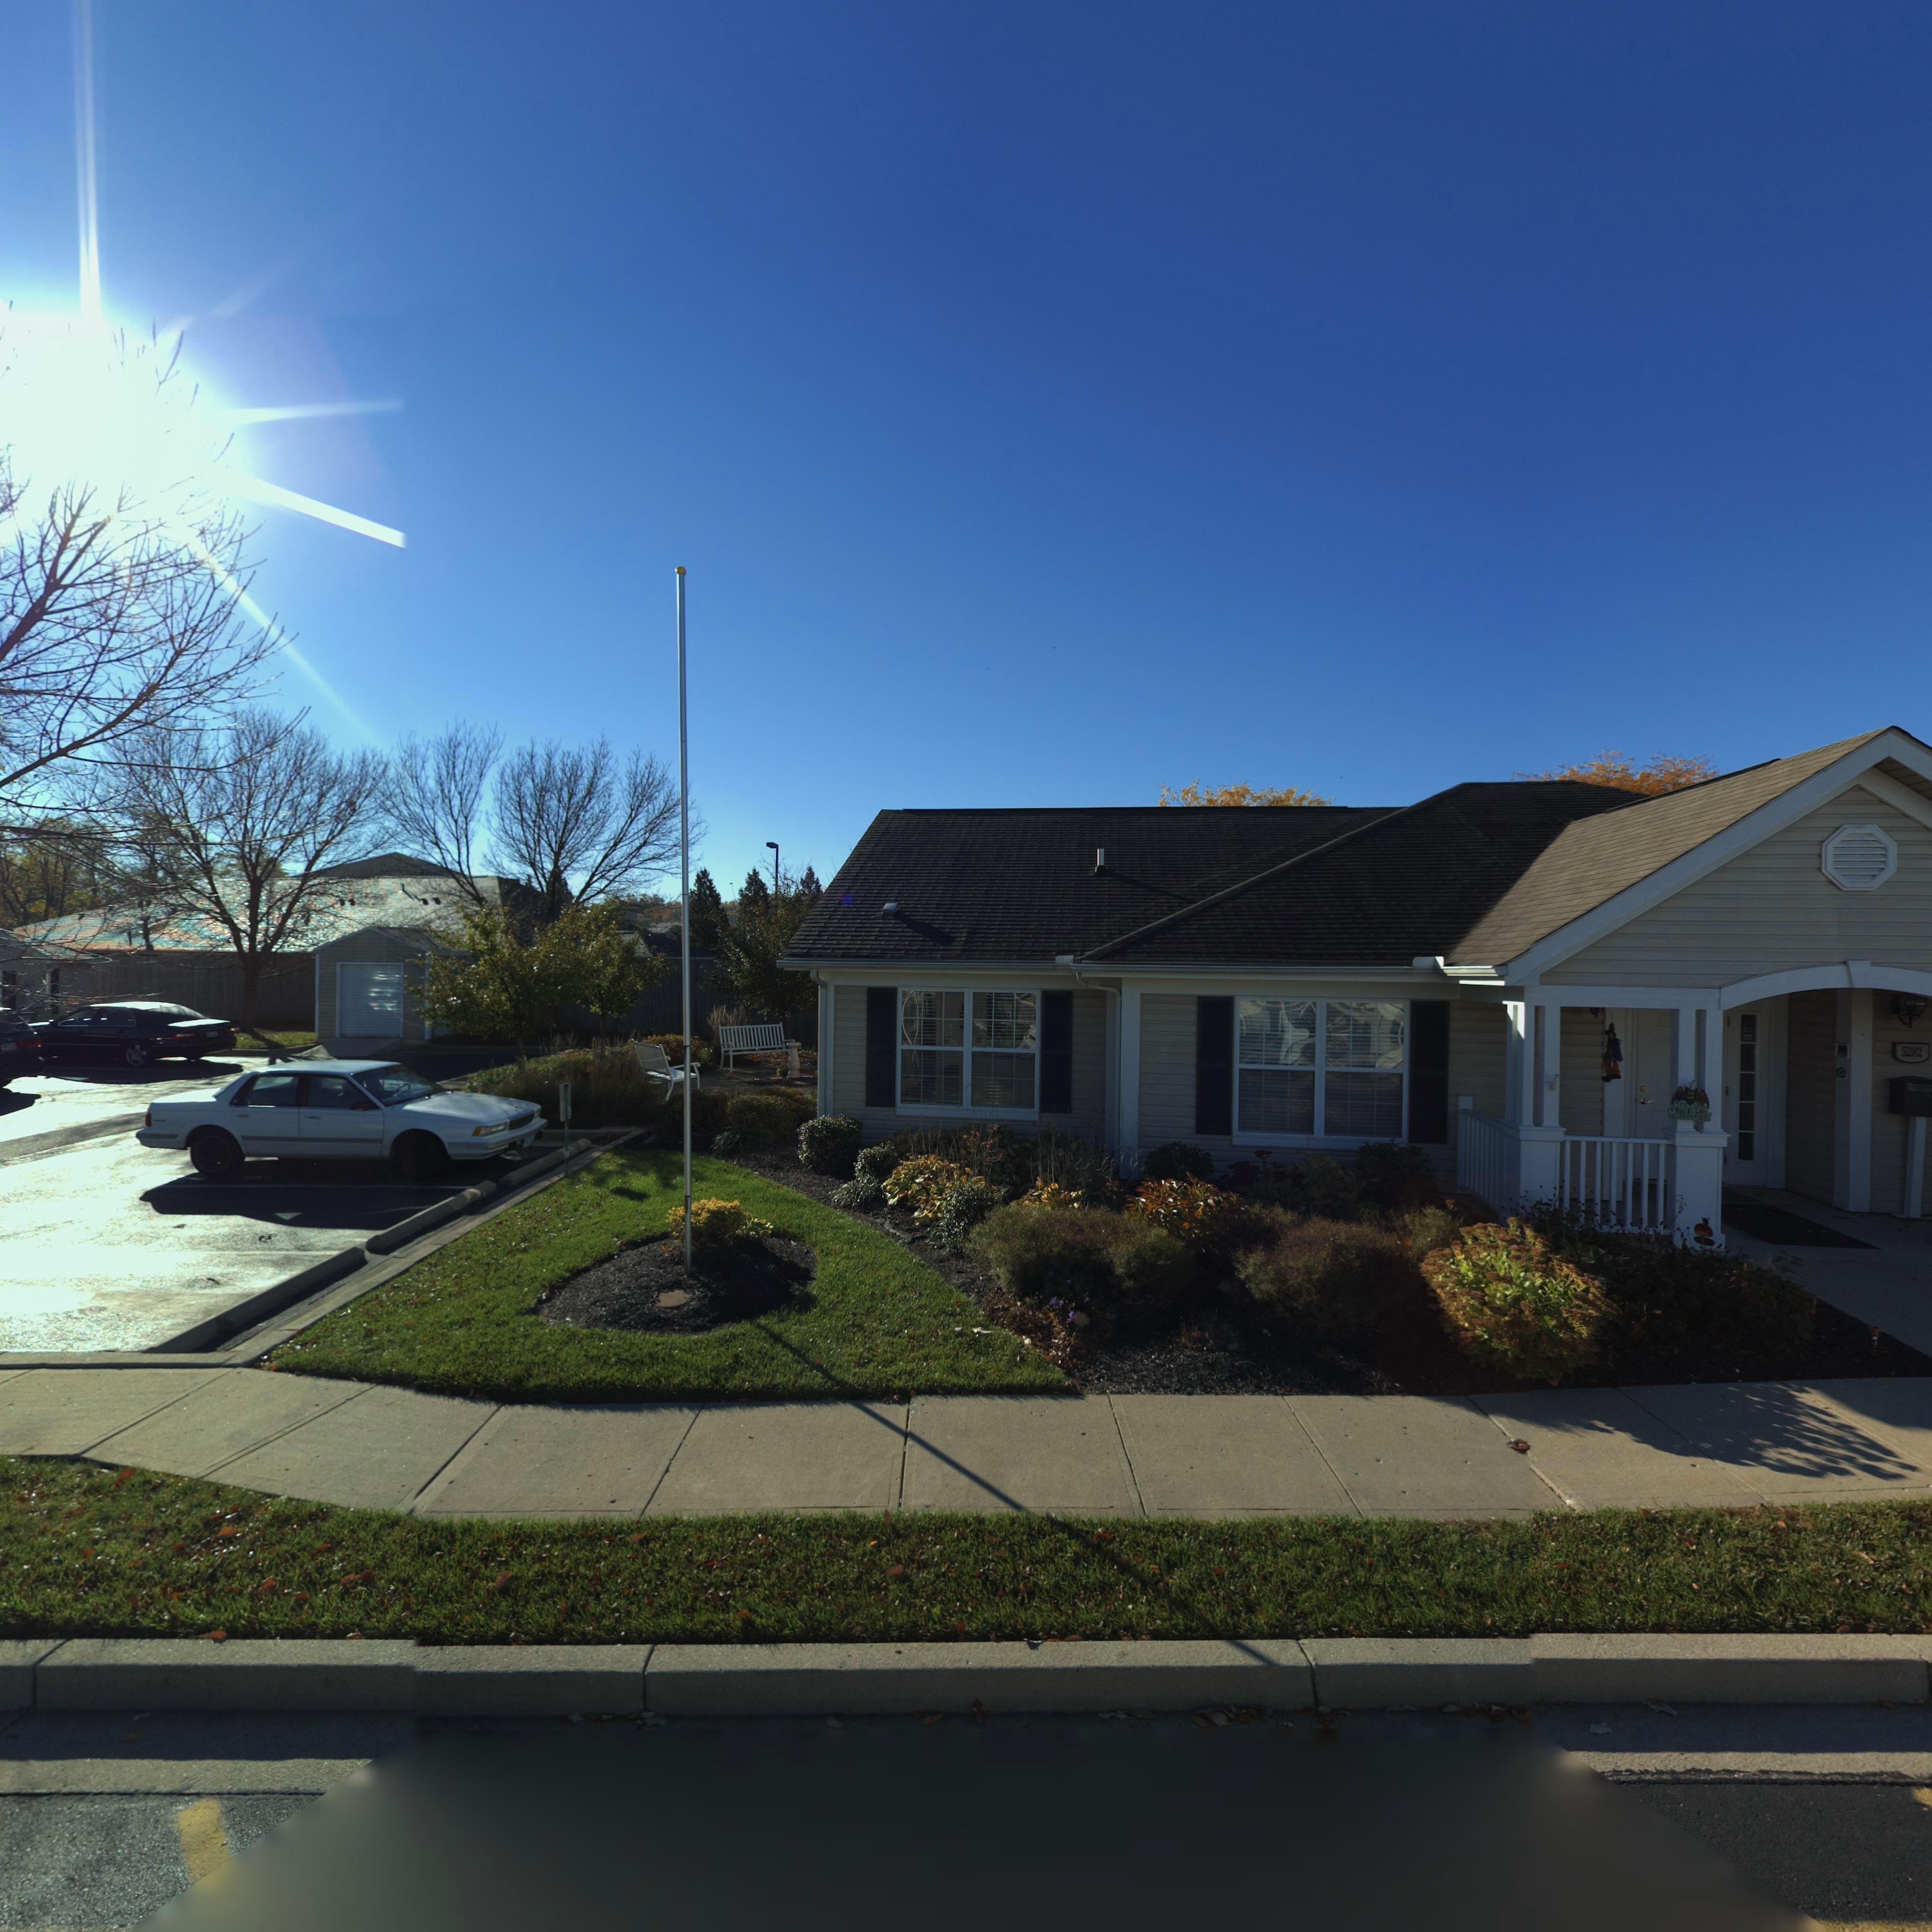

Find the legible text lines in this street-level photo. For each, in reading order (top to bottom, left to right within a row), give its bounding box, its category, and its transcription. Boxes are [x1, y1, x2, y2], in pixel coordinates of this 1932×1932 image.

[1902, 1045, 1923, 1057] StreetNumber: 5282